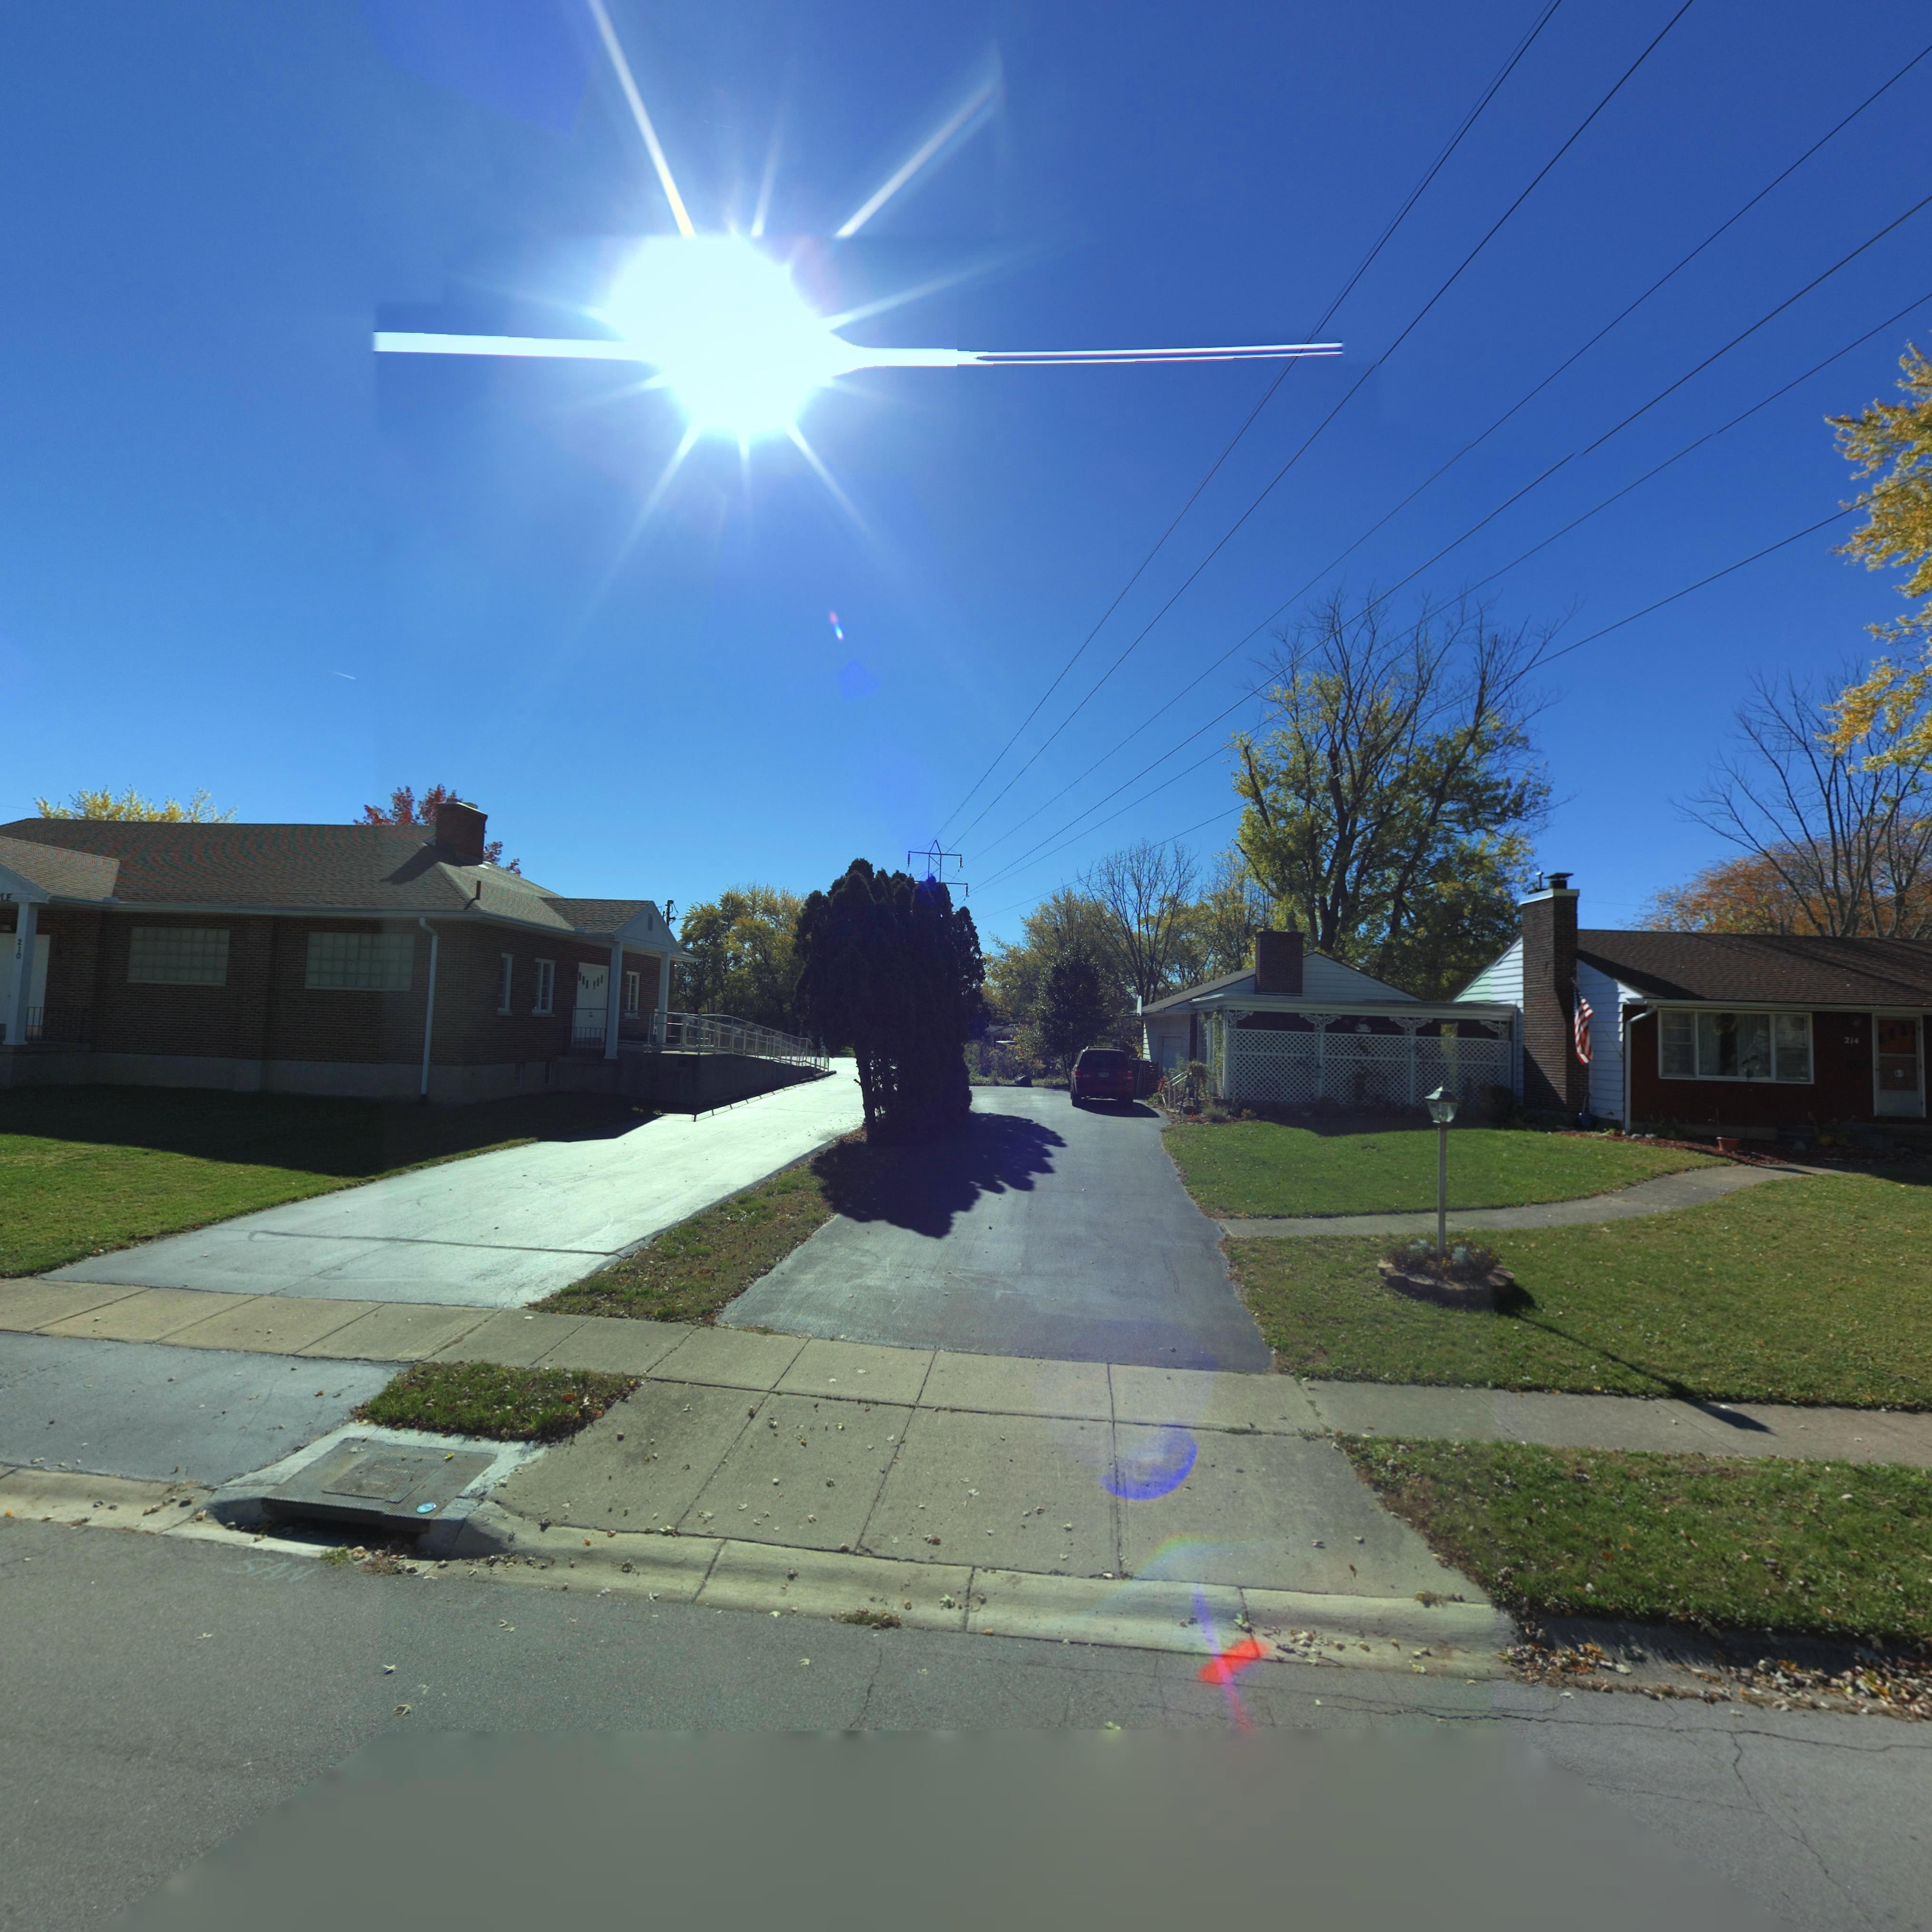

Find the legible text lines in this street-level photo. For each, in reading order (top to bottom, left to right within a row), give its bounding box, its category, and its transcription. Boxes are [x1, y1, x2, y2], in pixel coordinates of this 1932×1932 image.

[0, 892, 13, 903] BusinessName: LE
[15, 938, 22, 960] StreetNumber: 210
[1843, 1036, 1859, 1045] StreetNumber: 214